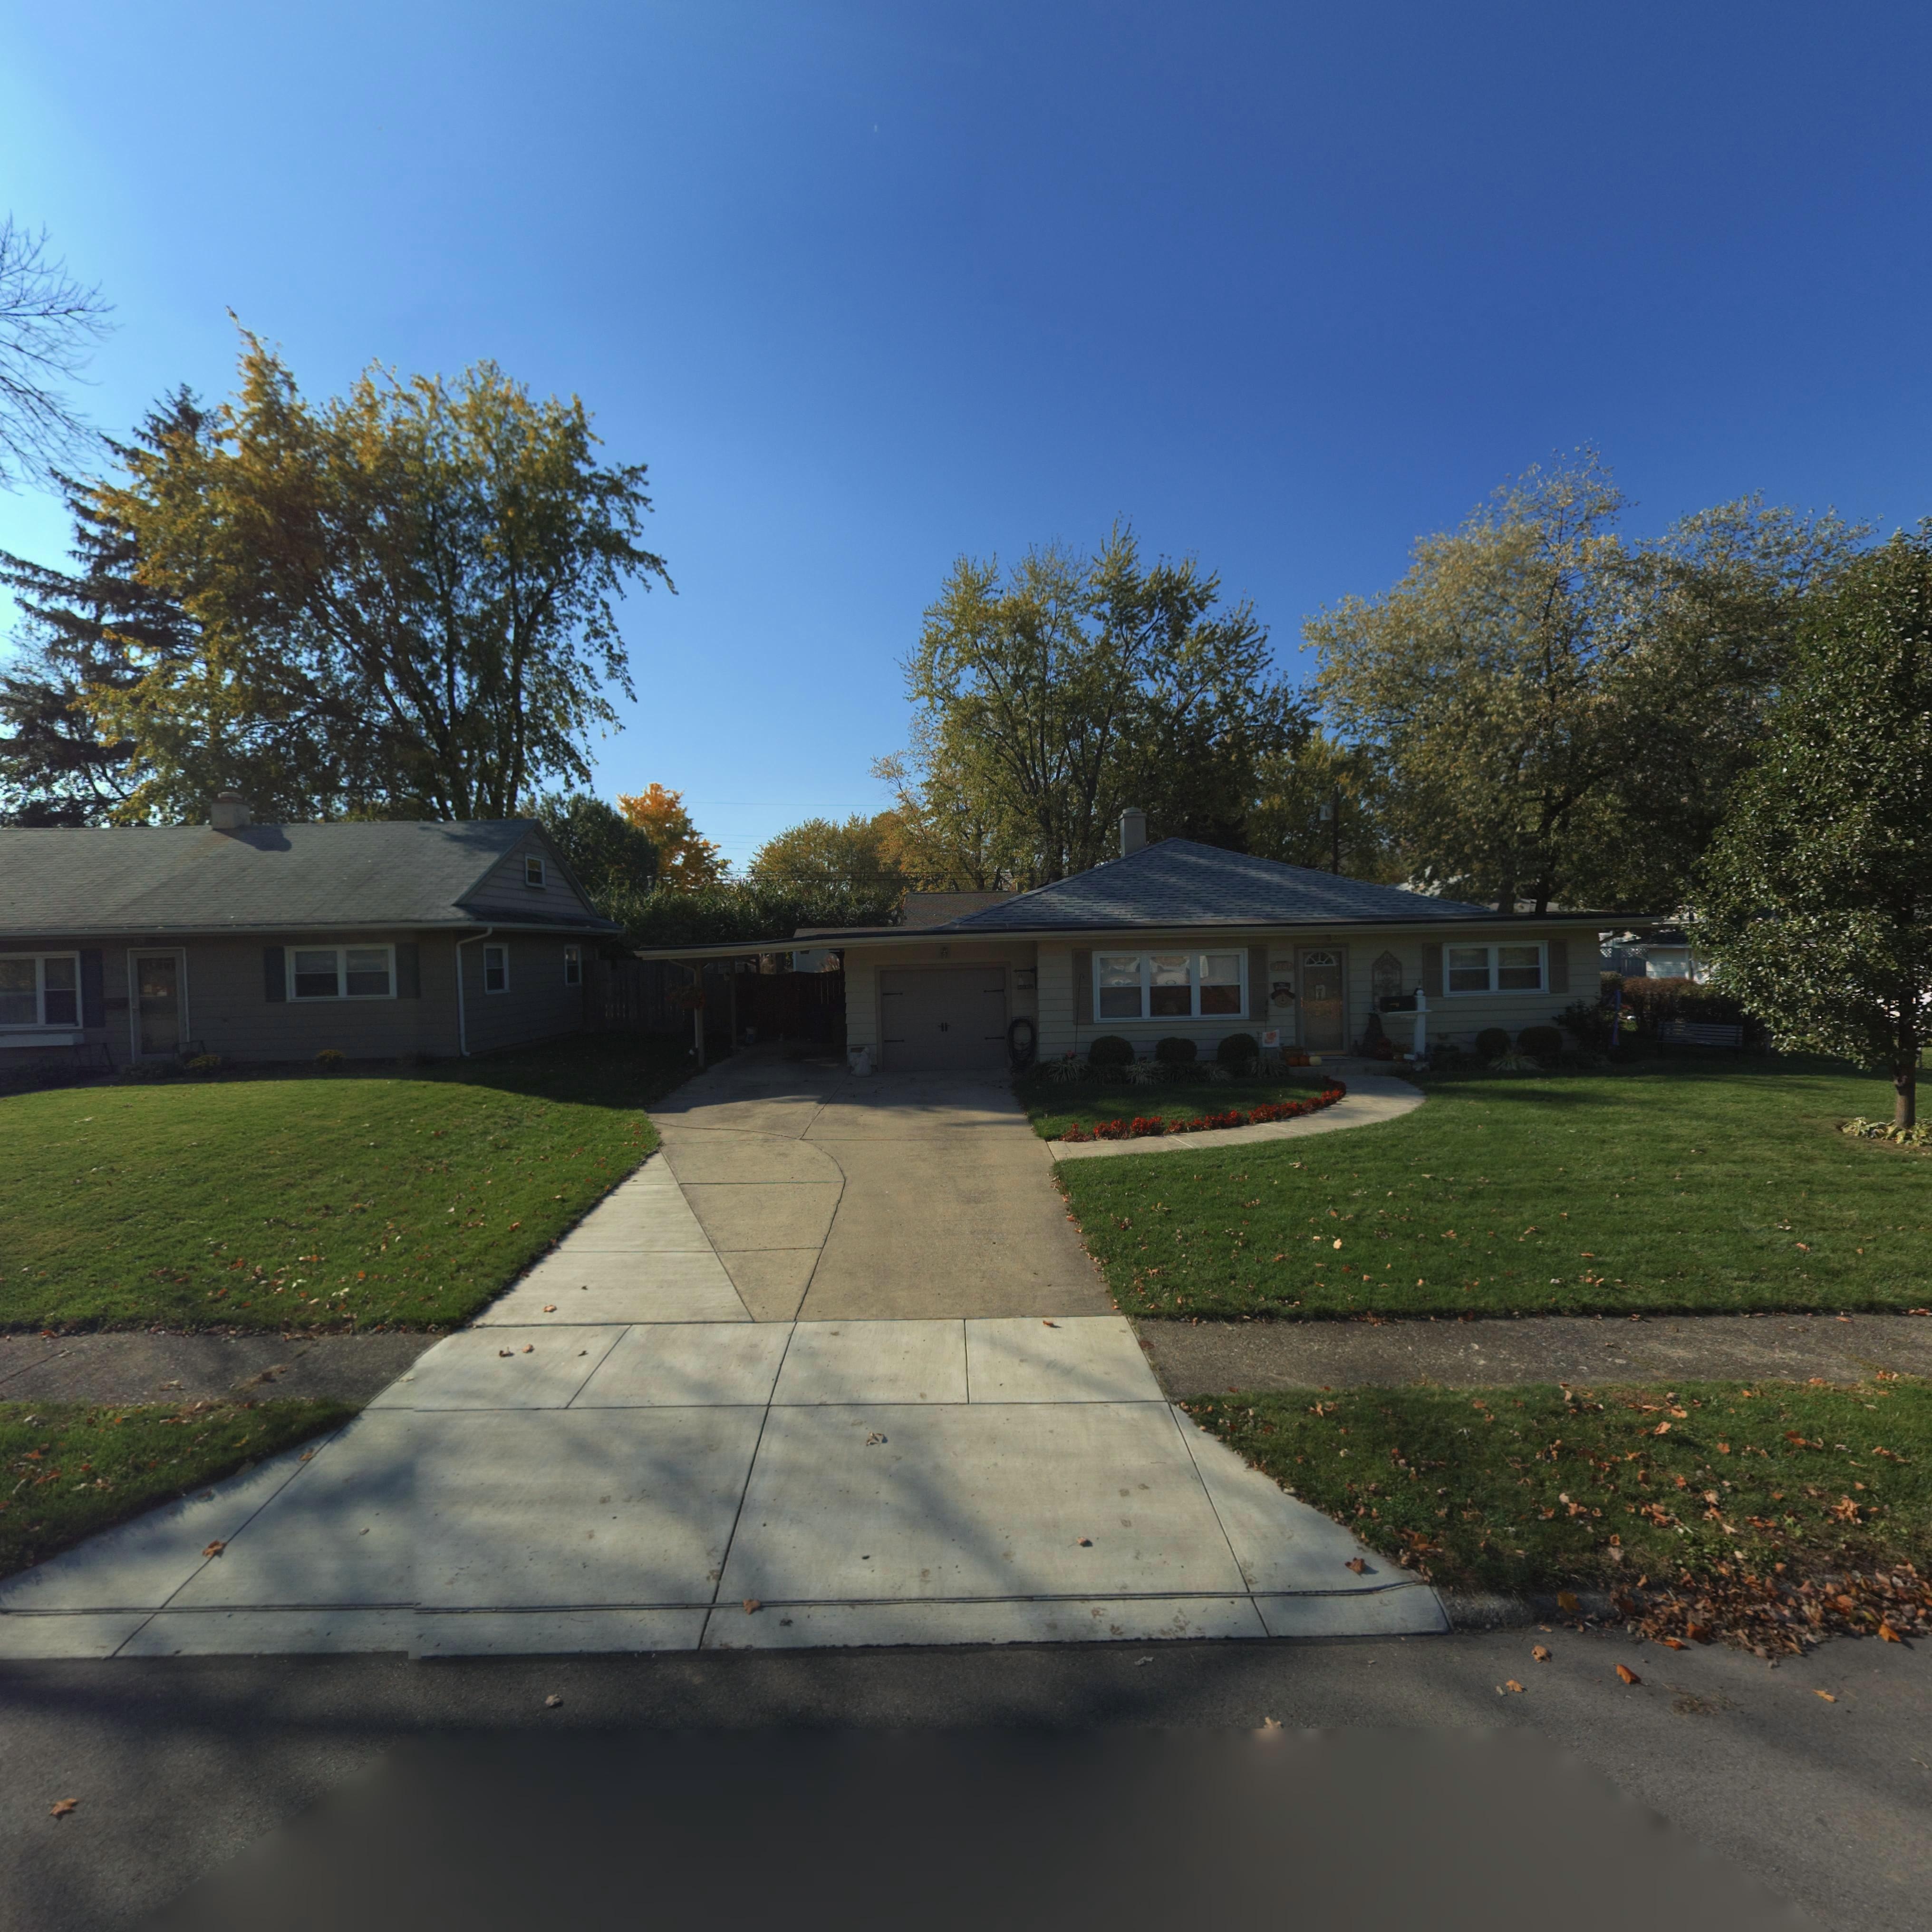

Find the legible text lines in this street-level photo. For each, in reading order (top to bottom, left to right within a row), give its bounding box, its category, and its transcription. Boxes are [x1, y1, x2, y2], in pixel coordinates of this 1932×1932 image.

[104, 963, 127, 976] StreetNumber: 37**
[1273, 963, 1292, 970] StreetNumber: 3707